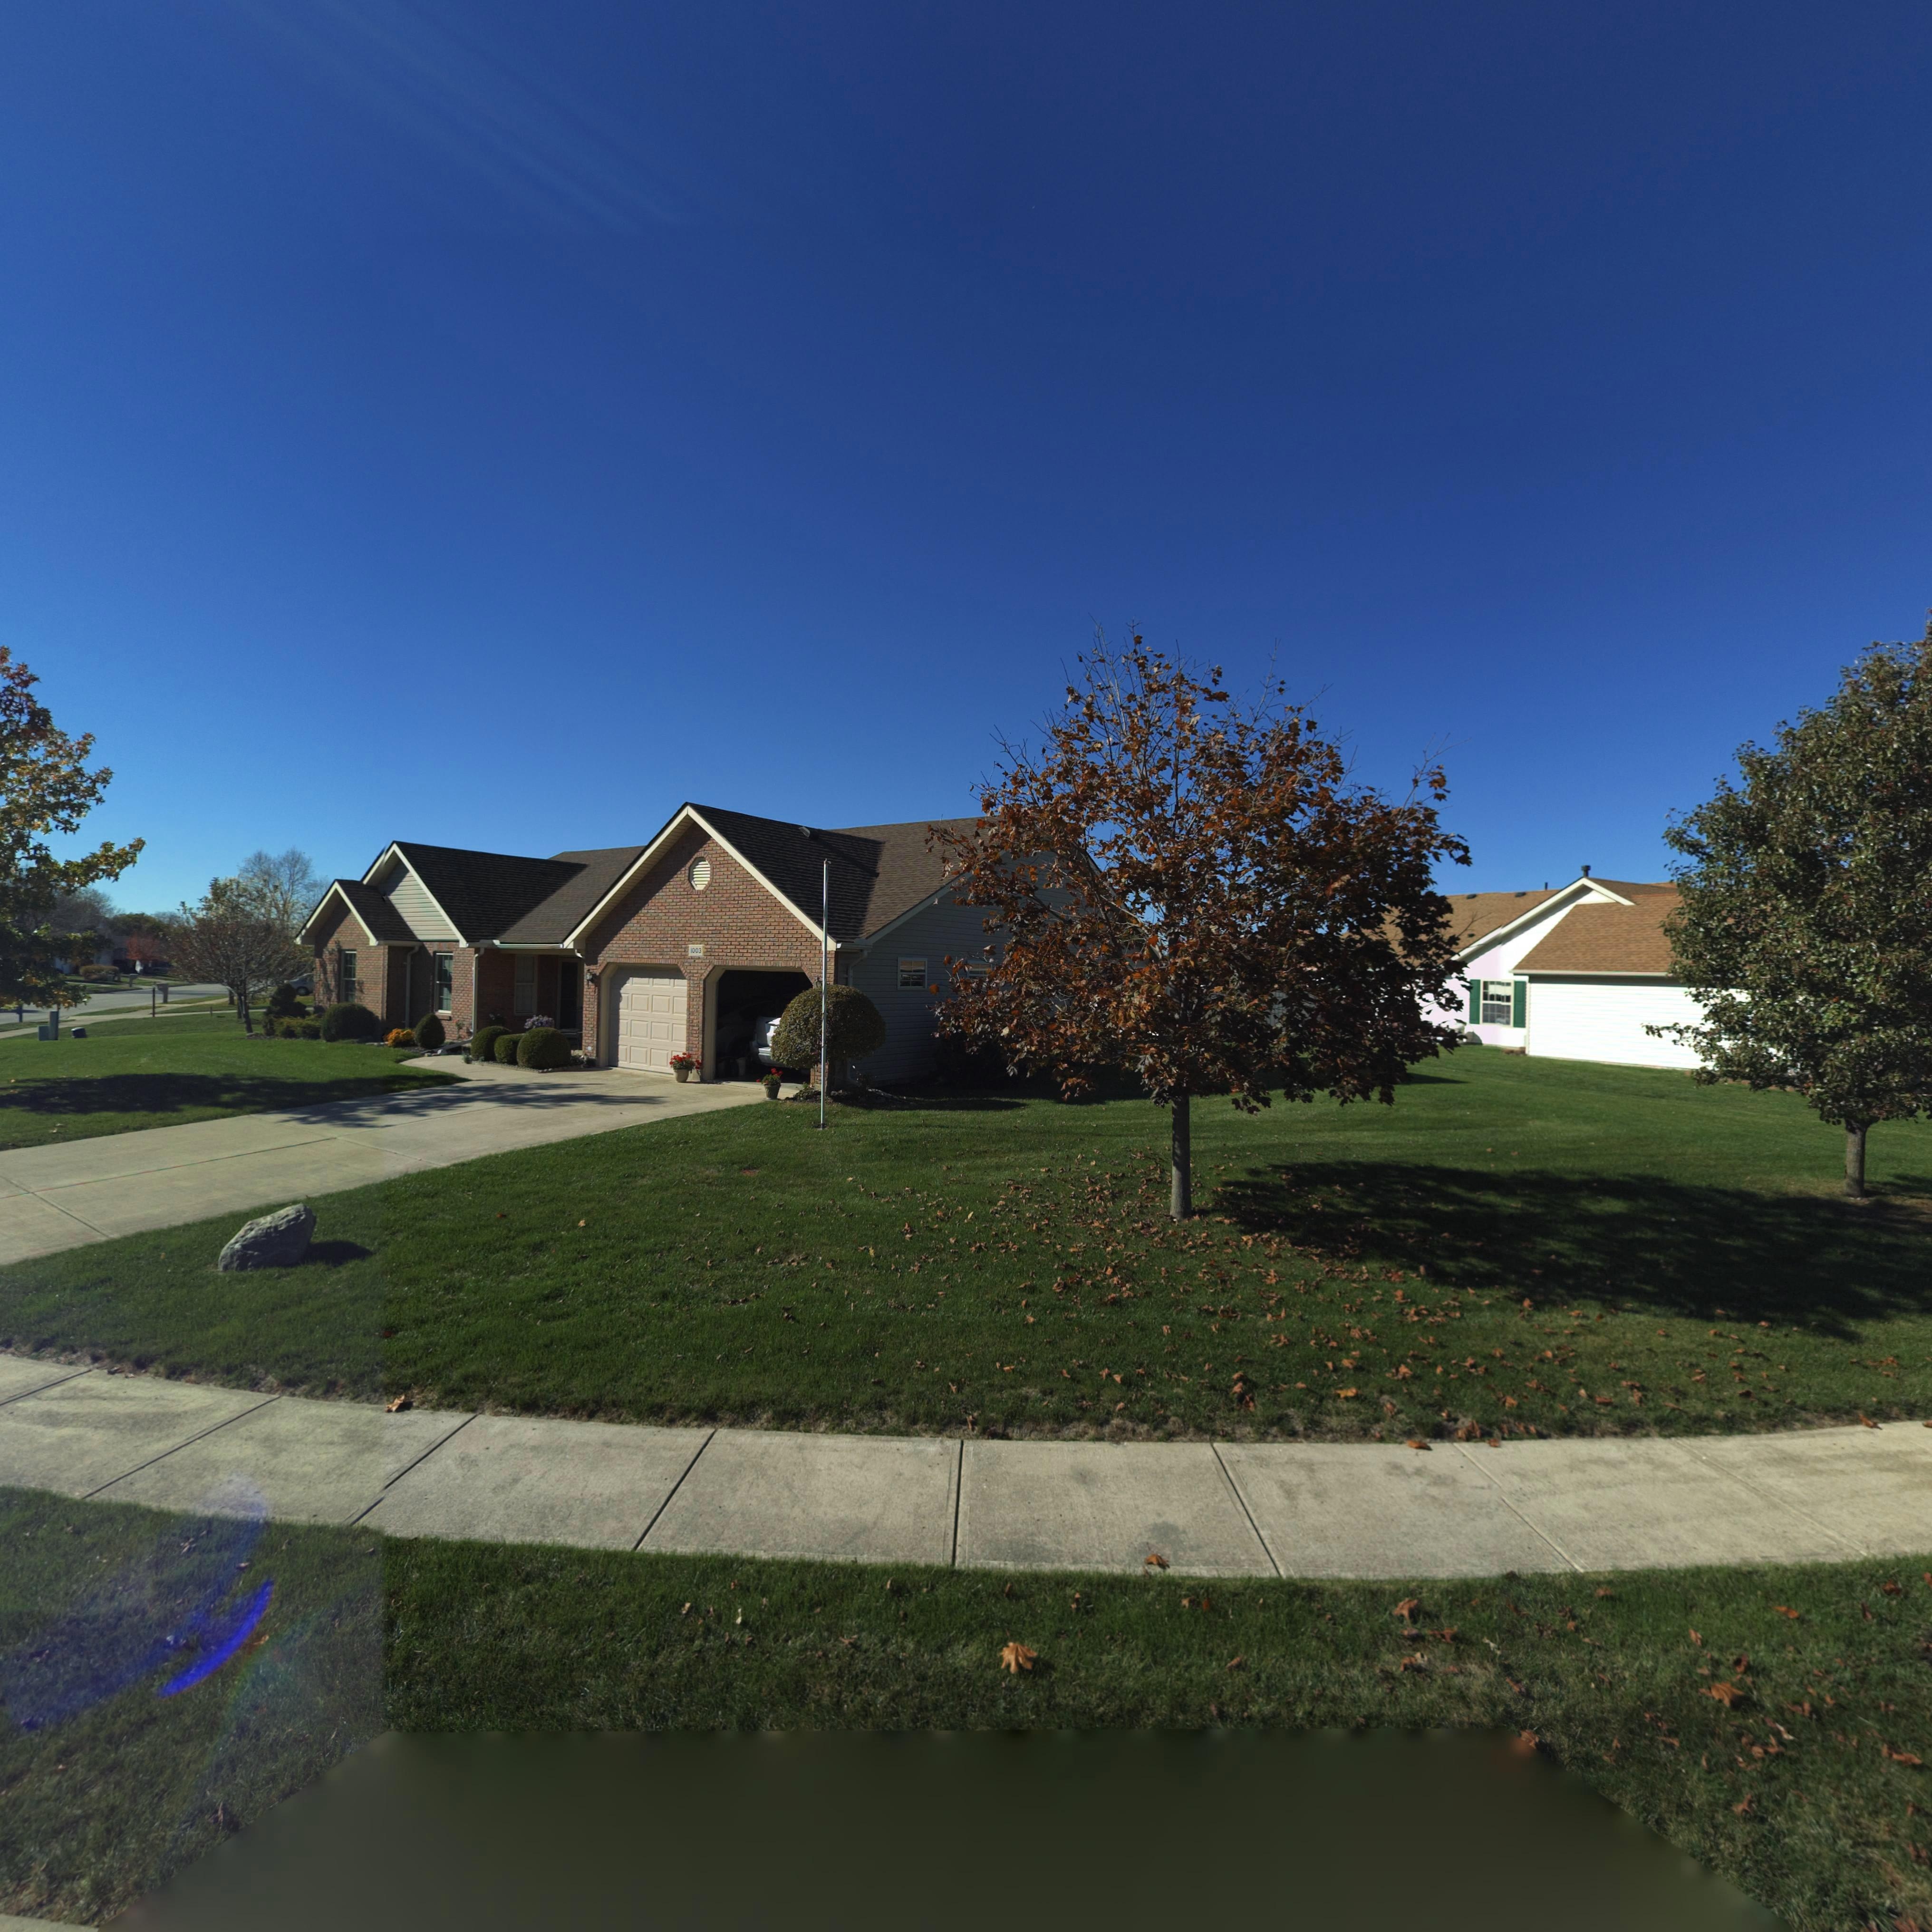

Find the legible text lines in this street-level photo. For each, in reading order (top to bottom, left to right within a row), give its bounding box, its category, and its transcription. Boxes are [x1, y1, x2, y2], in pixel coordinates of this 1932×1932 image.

[690, 947, 702, 954] StreetNumber: 1003